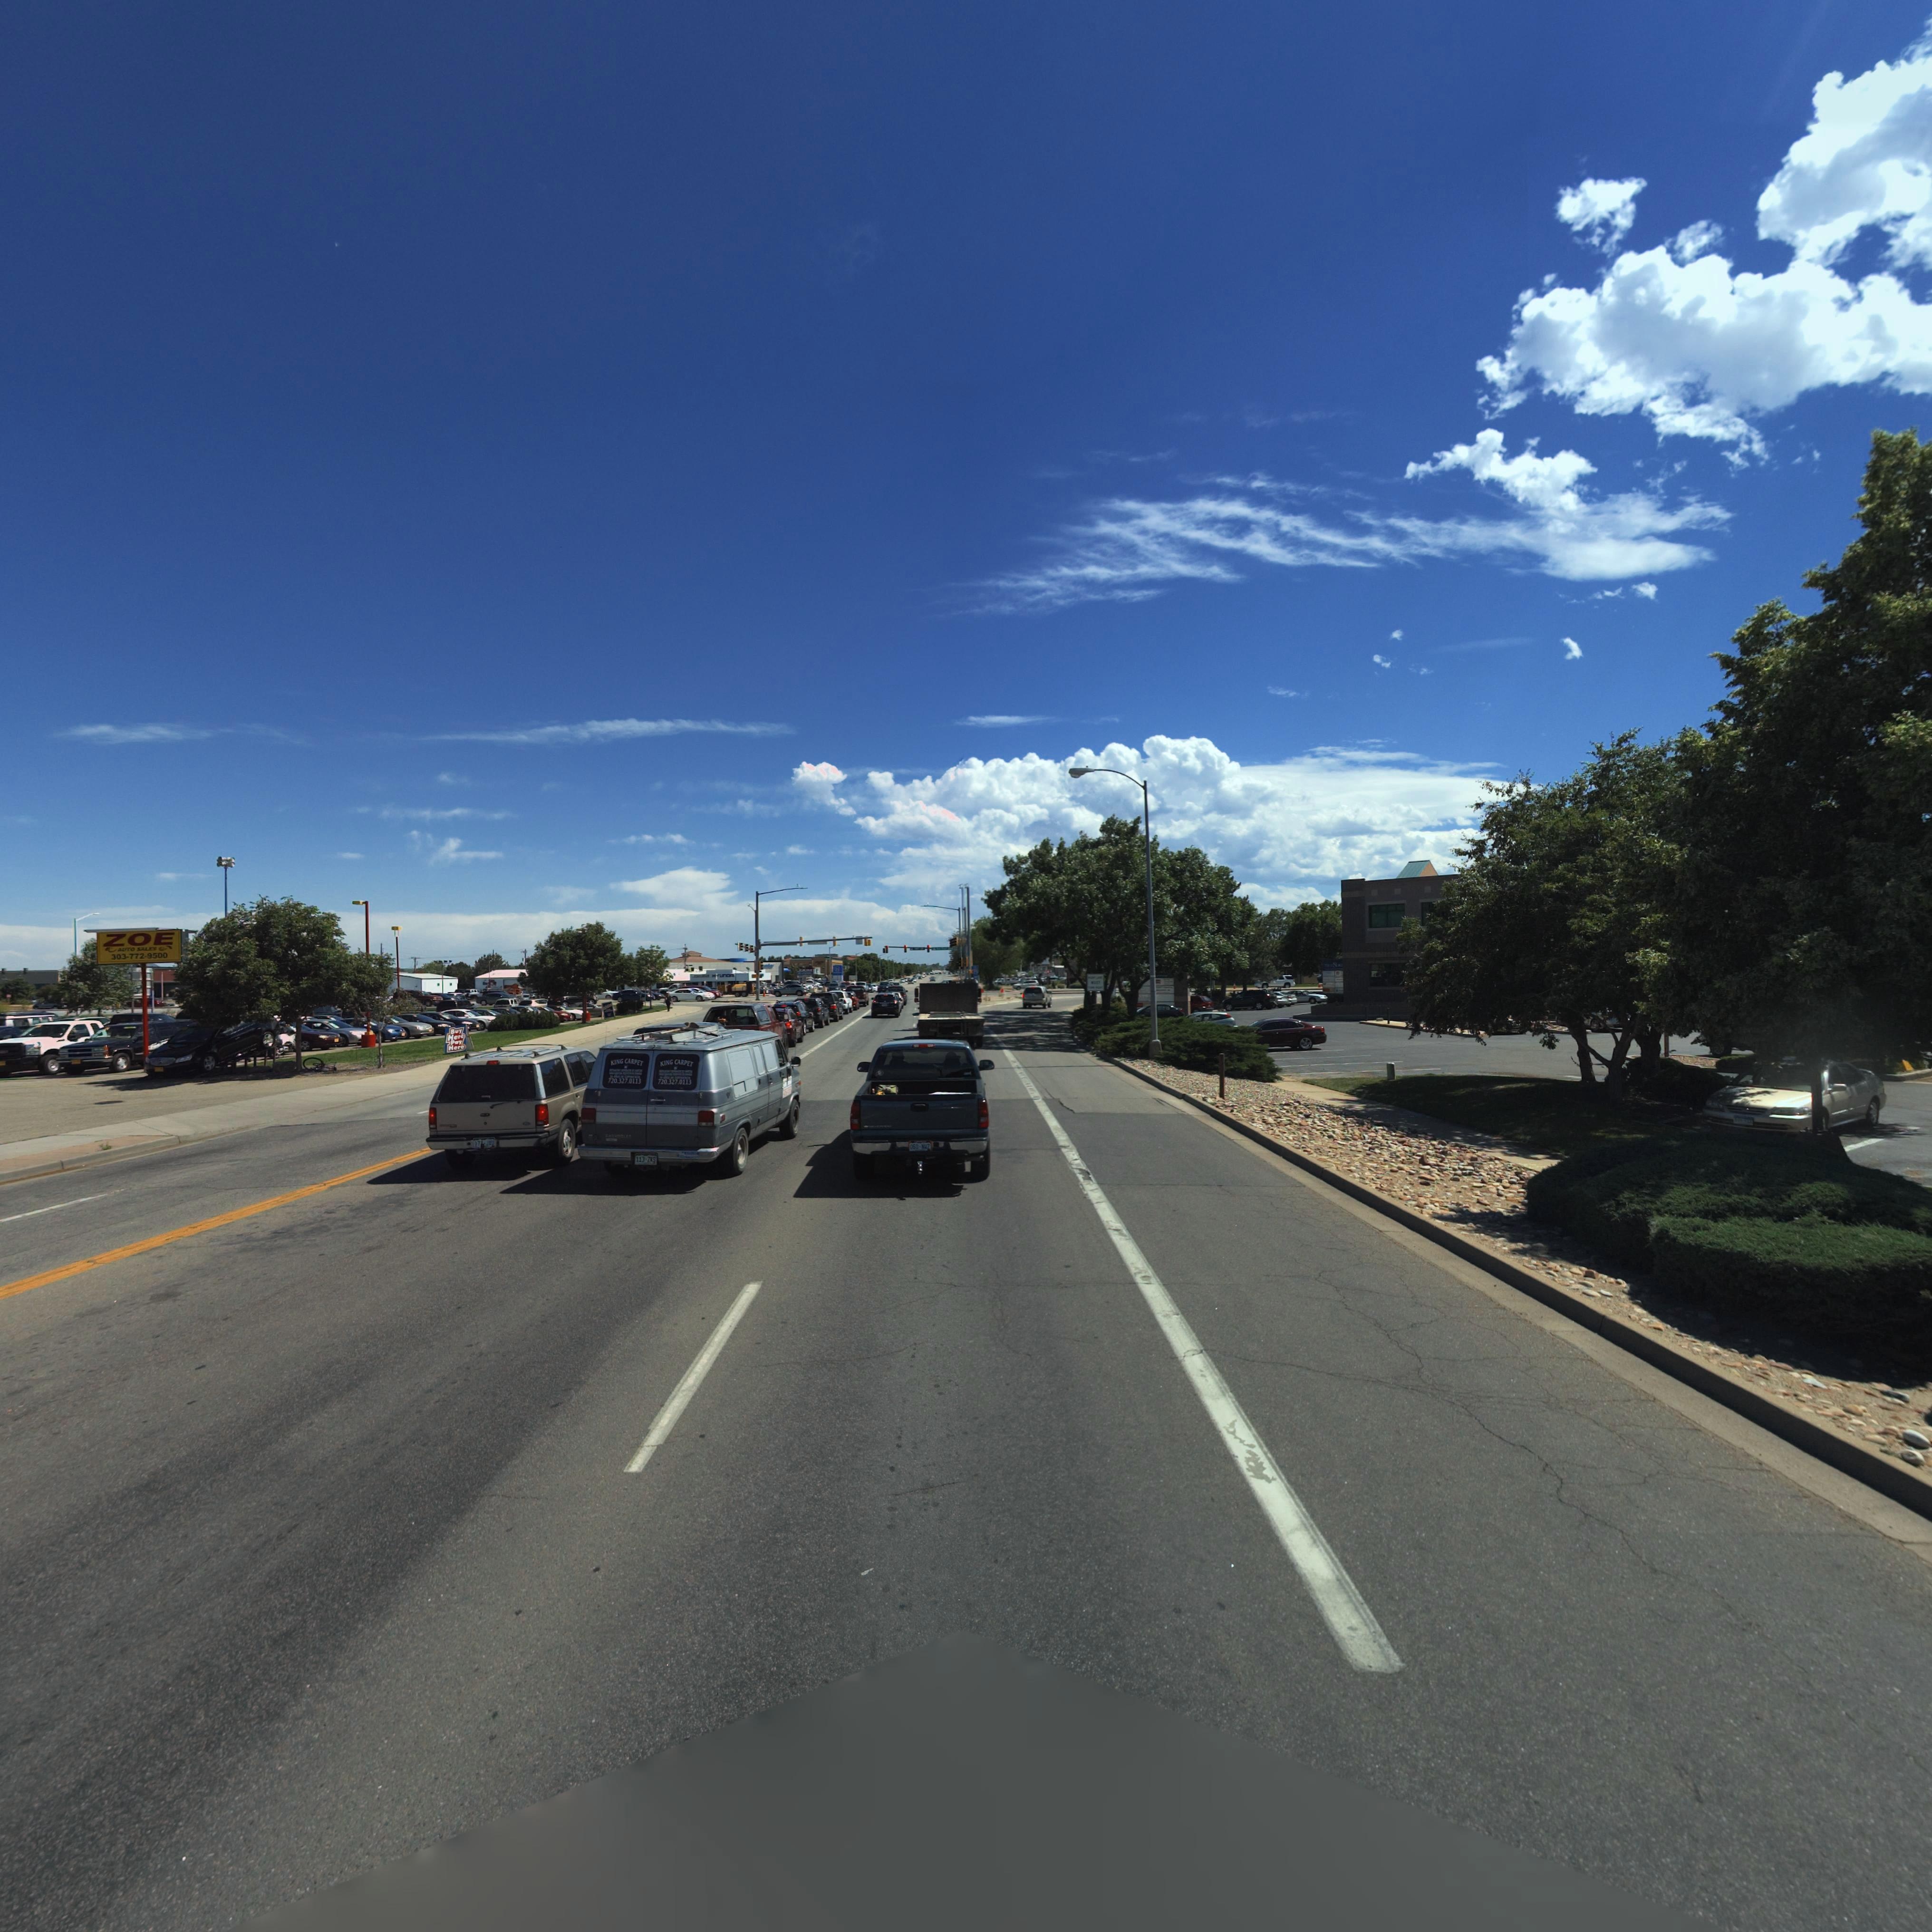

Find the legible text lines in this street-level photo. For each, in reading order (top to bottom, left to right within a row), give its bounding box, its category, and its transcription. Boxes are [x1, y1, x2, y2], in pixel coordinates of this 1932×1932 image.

[100, 930, 175, 947] BusinessName: ZOE